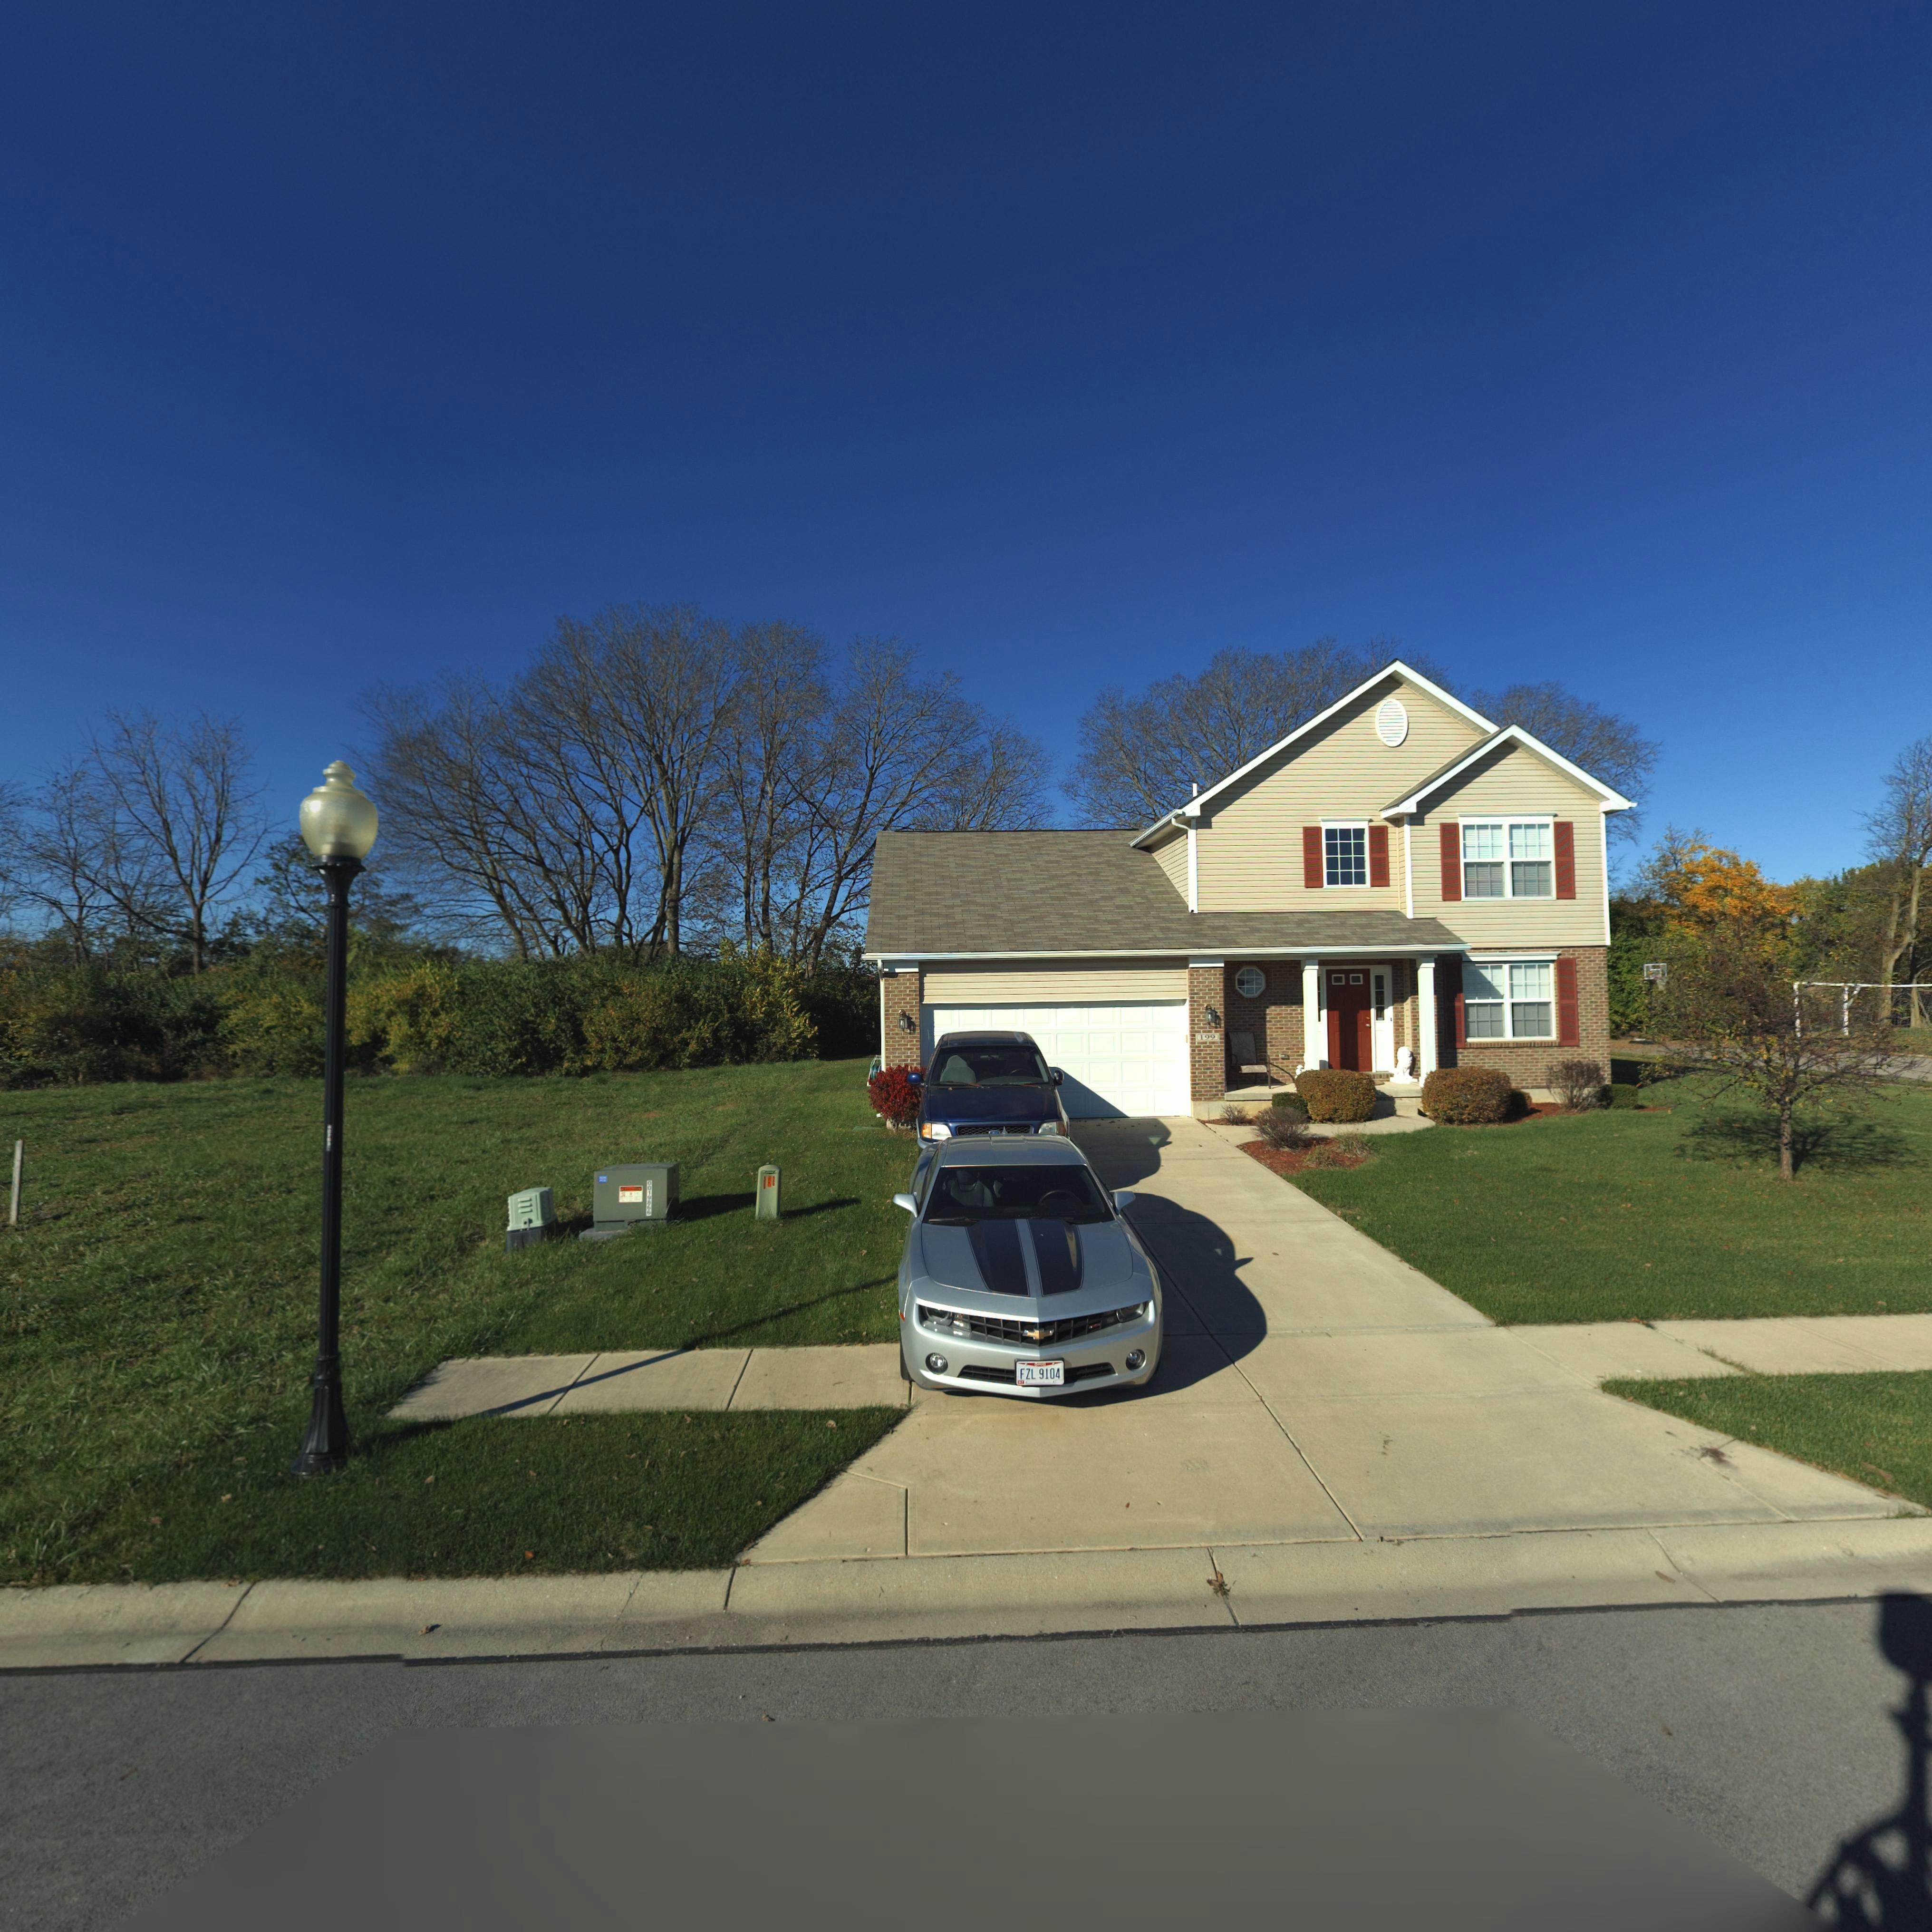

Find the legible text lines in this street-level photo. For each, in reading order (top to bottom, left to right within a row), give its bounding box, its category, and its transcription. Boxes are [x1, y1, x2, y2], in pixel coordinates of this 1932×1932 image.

[1200, 1034, 1216, 1041] StreetNumber: 199